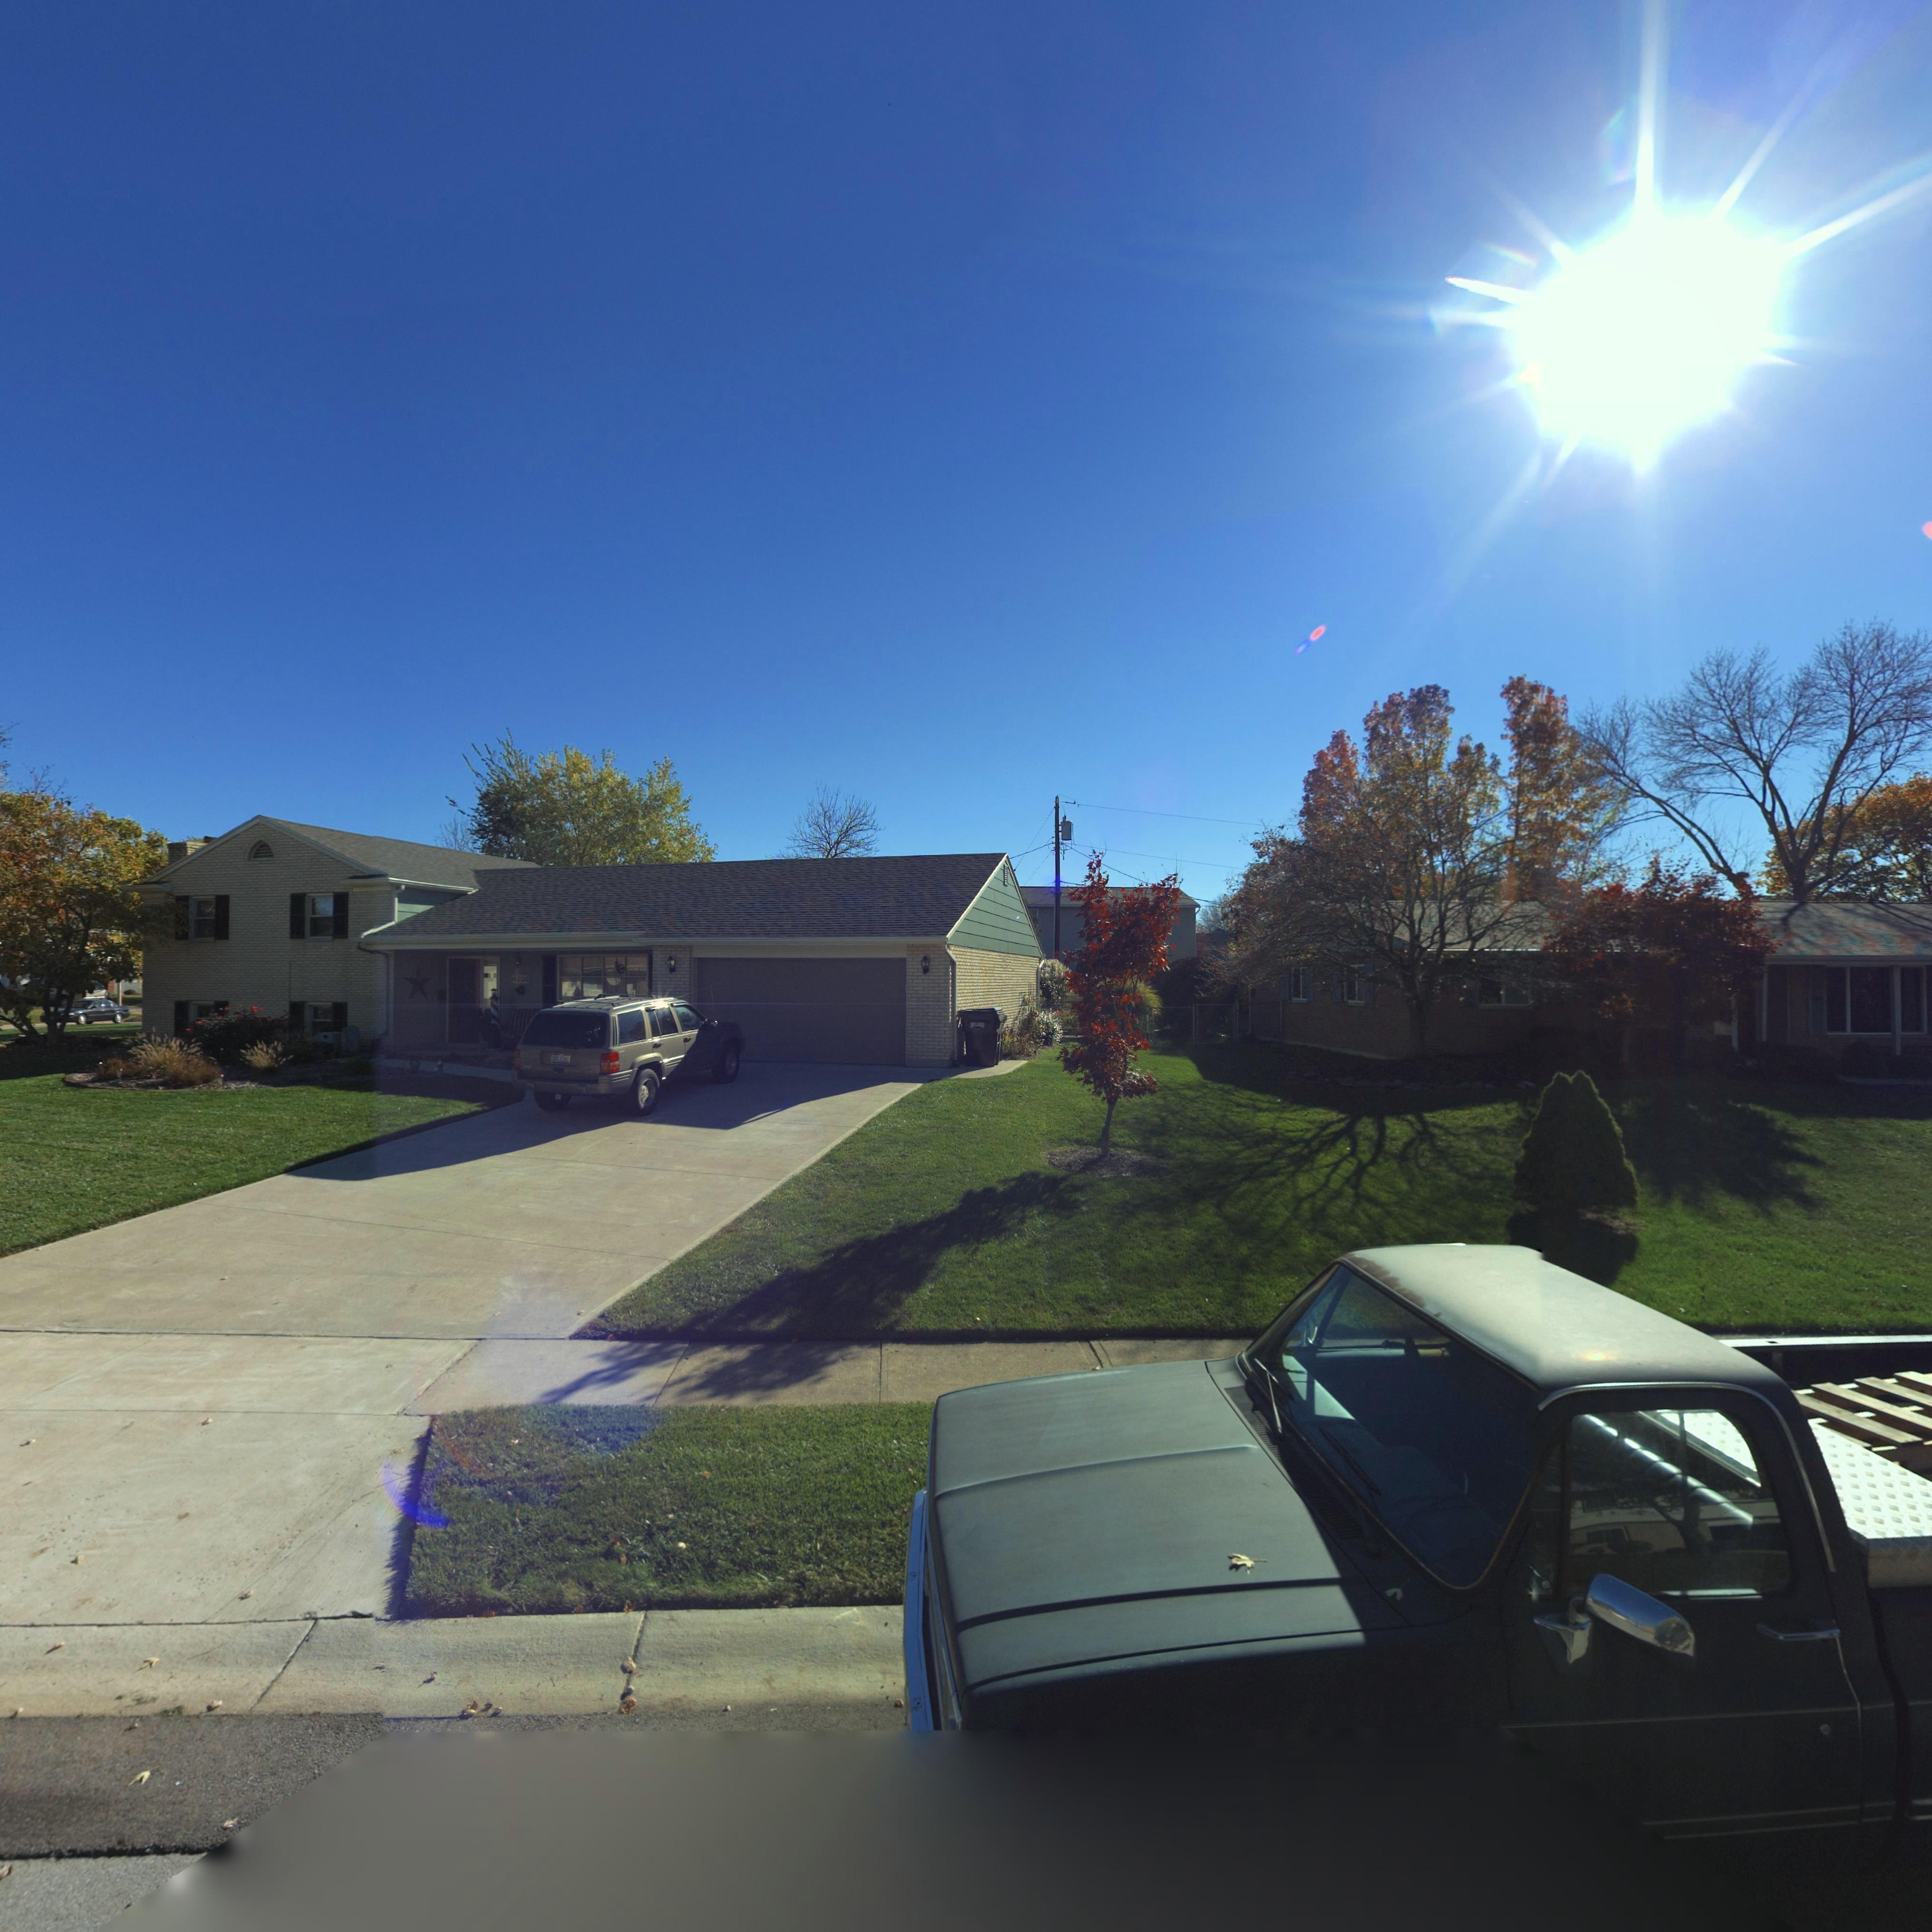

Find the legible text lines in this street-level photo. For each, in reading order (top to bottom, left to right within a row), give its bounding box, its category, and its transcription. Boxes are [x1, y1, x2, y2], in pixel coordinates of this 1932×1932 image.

[520, 975, 530, 983] StreetNumber: 3*
[551, 1055, 570, 1063] None: D*G*5341